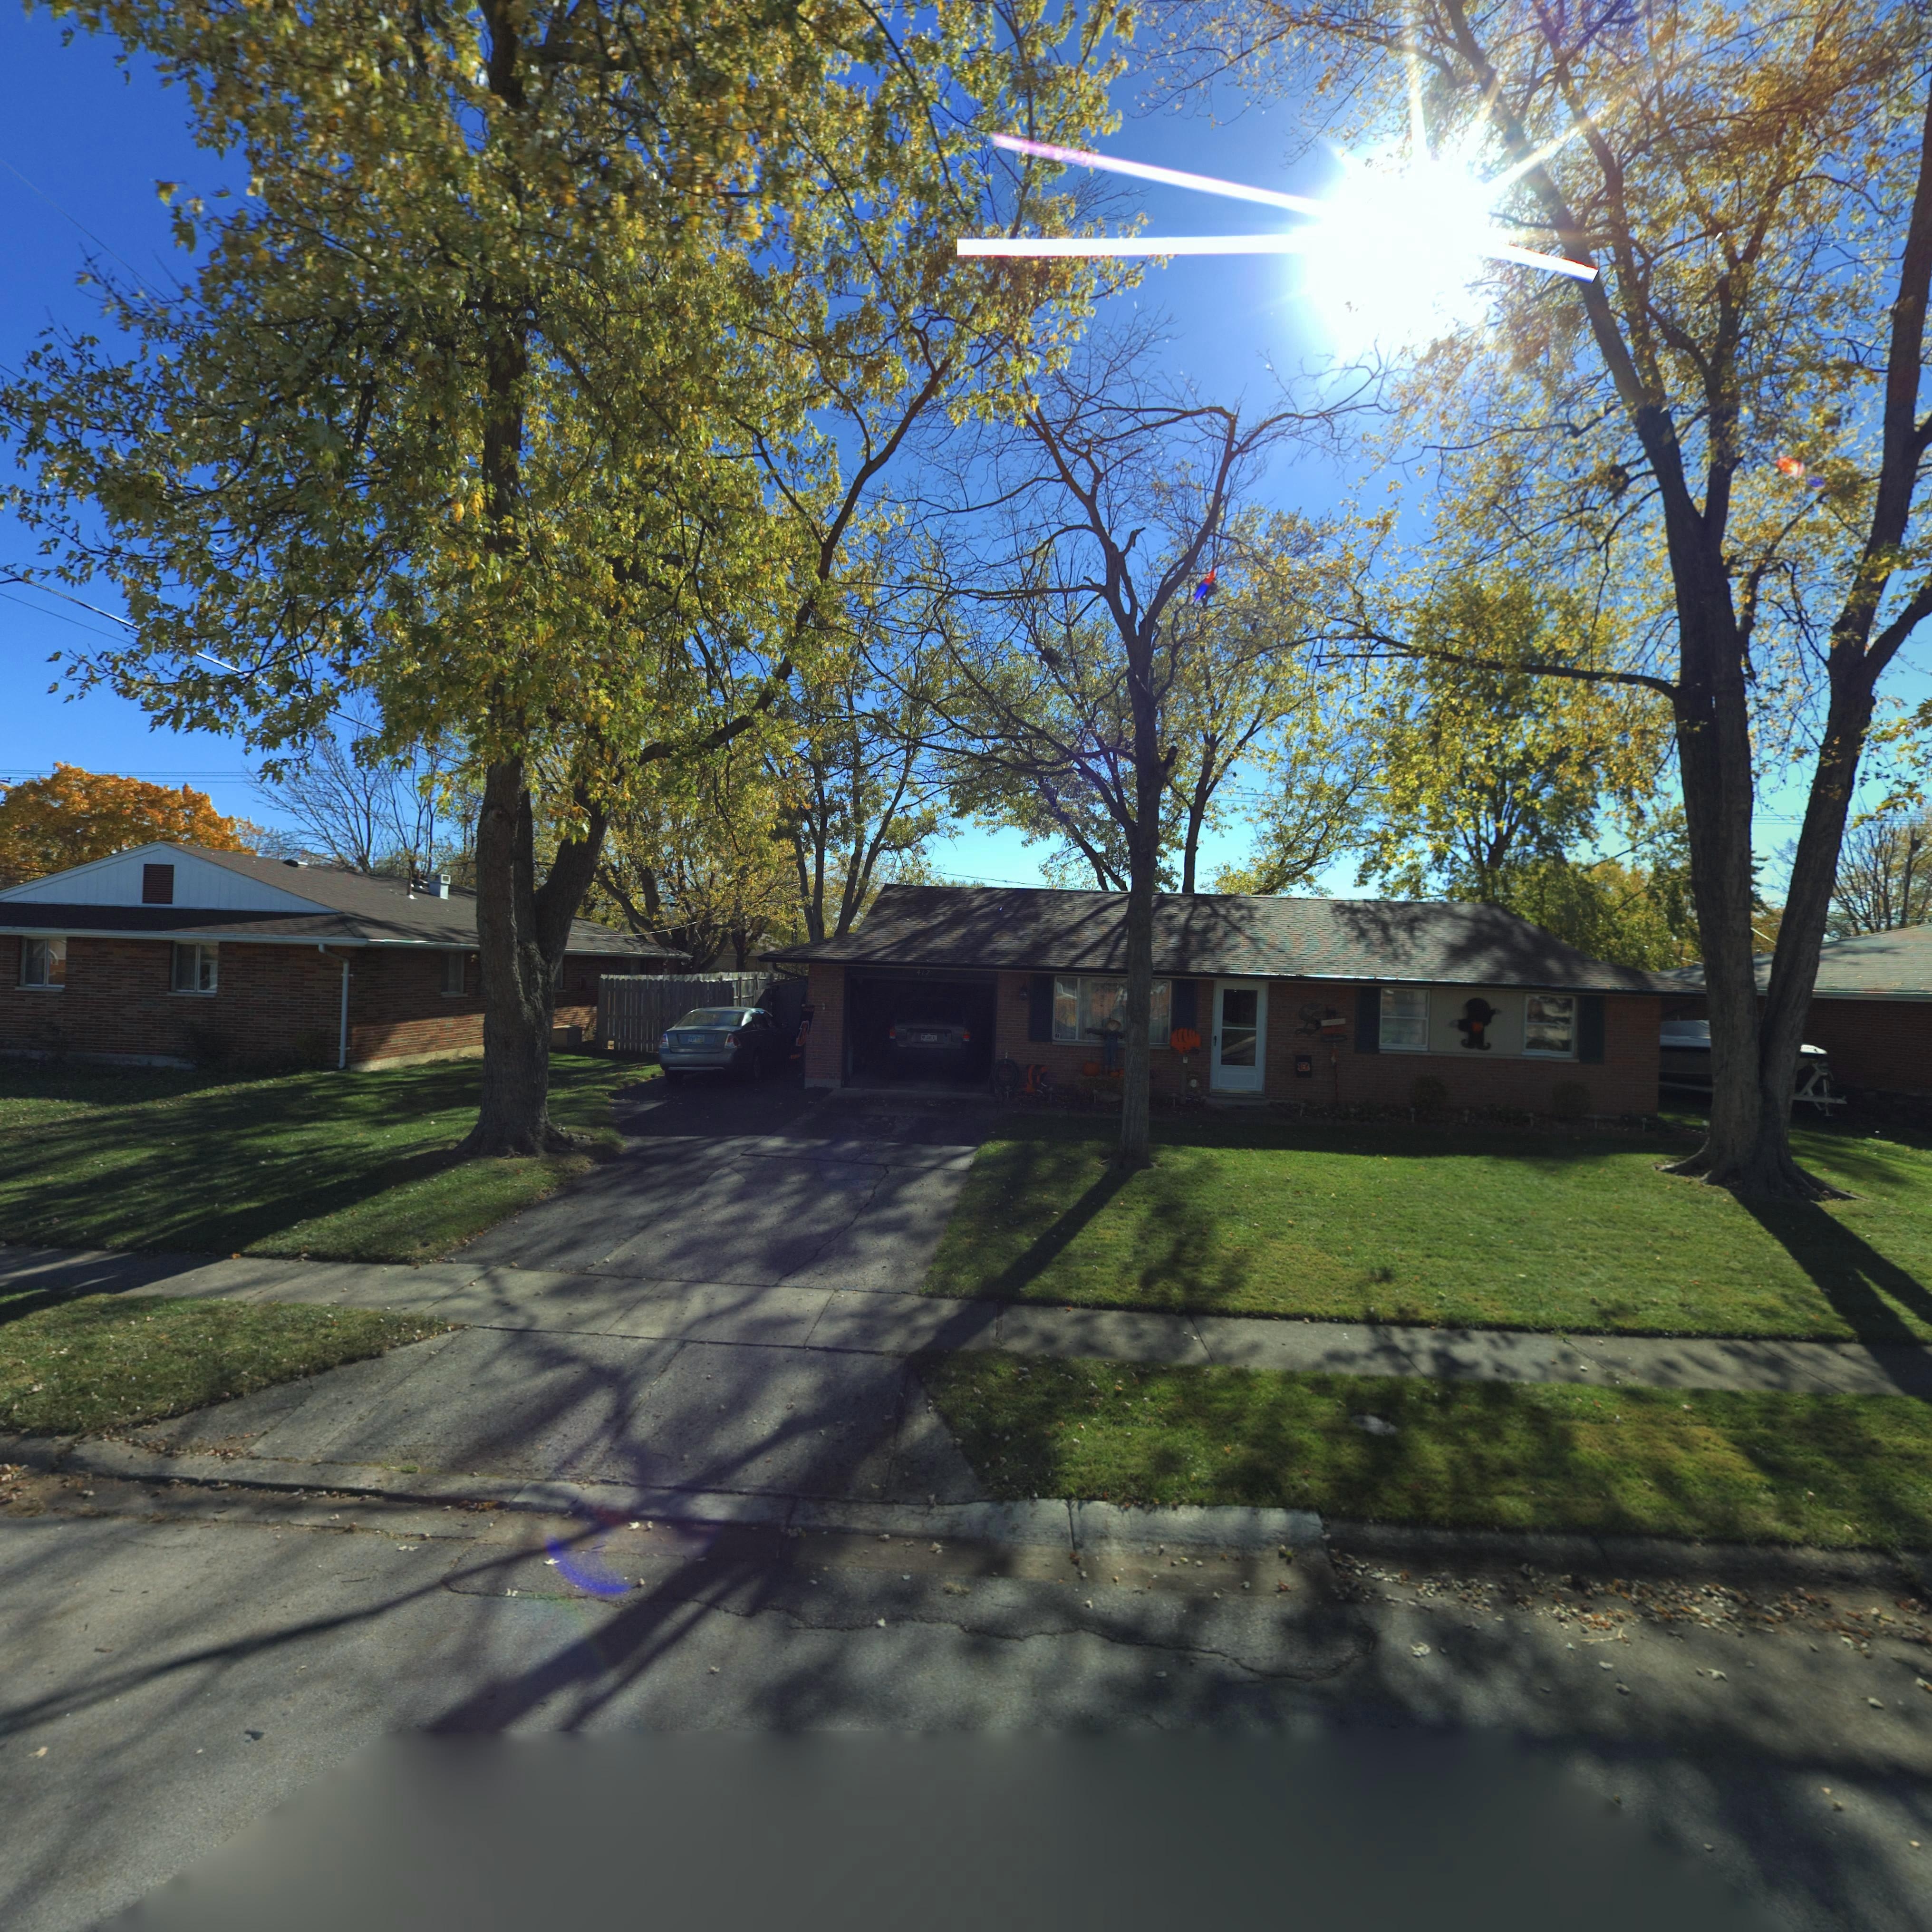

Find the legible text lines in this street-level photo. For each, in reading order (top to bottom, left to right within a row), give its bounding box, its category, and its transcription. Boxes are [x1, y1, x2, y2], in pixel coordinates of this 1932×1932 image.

[916, 969, 931, 976] StreetNumber: 417